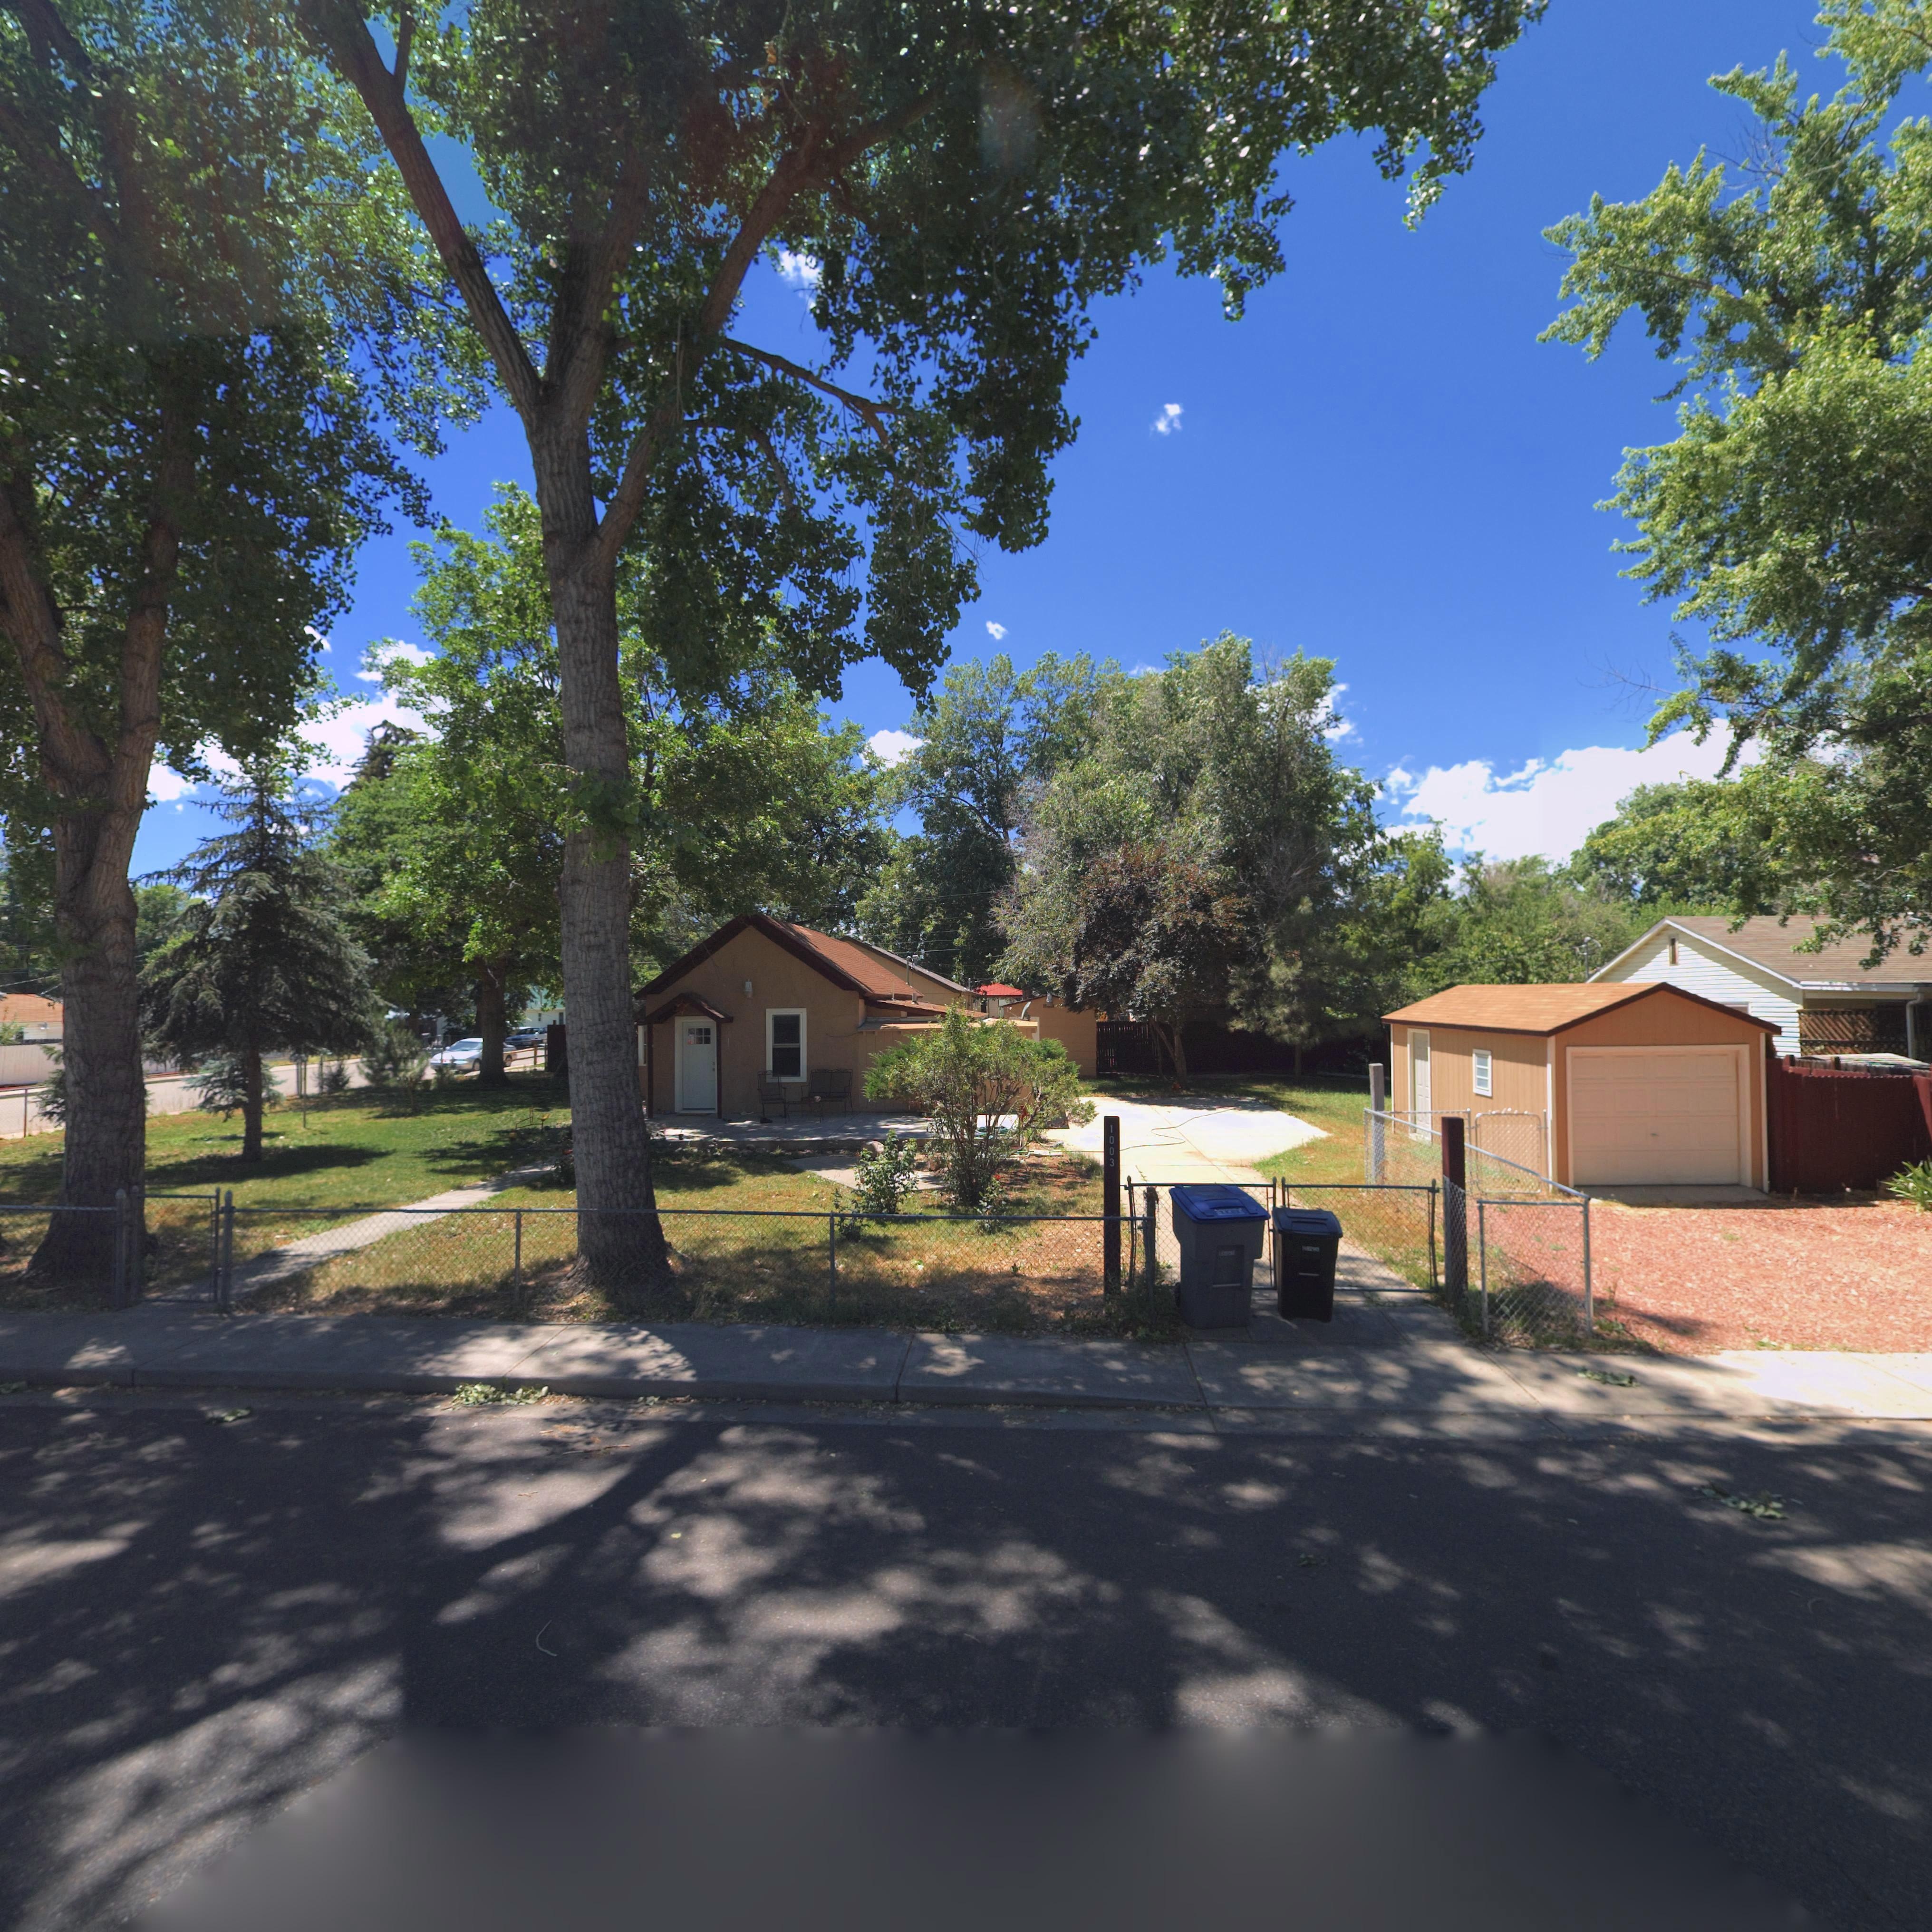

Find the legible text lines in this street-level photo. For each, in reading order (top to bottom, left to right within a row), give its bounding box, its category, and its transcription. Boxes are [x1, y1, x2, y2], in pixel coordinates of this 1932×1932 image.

[1109, 1124, 1114, 1167] StreetNumber: 1003